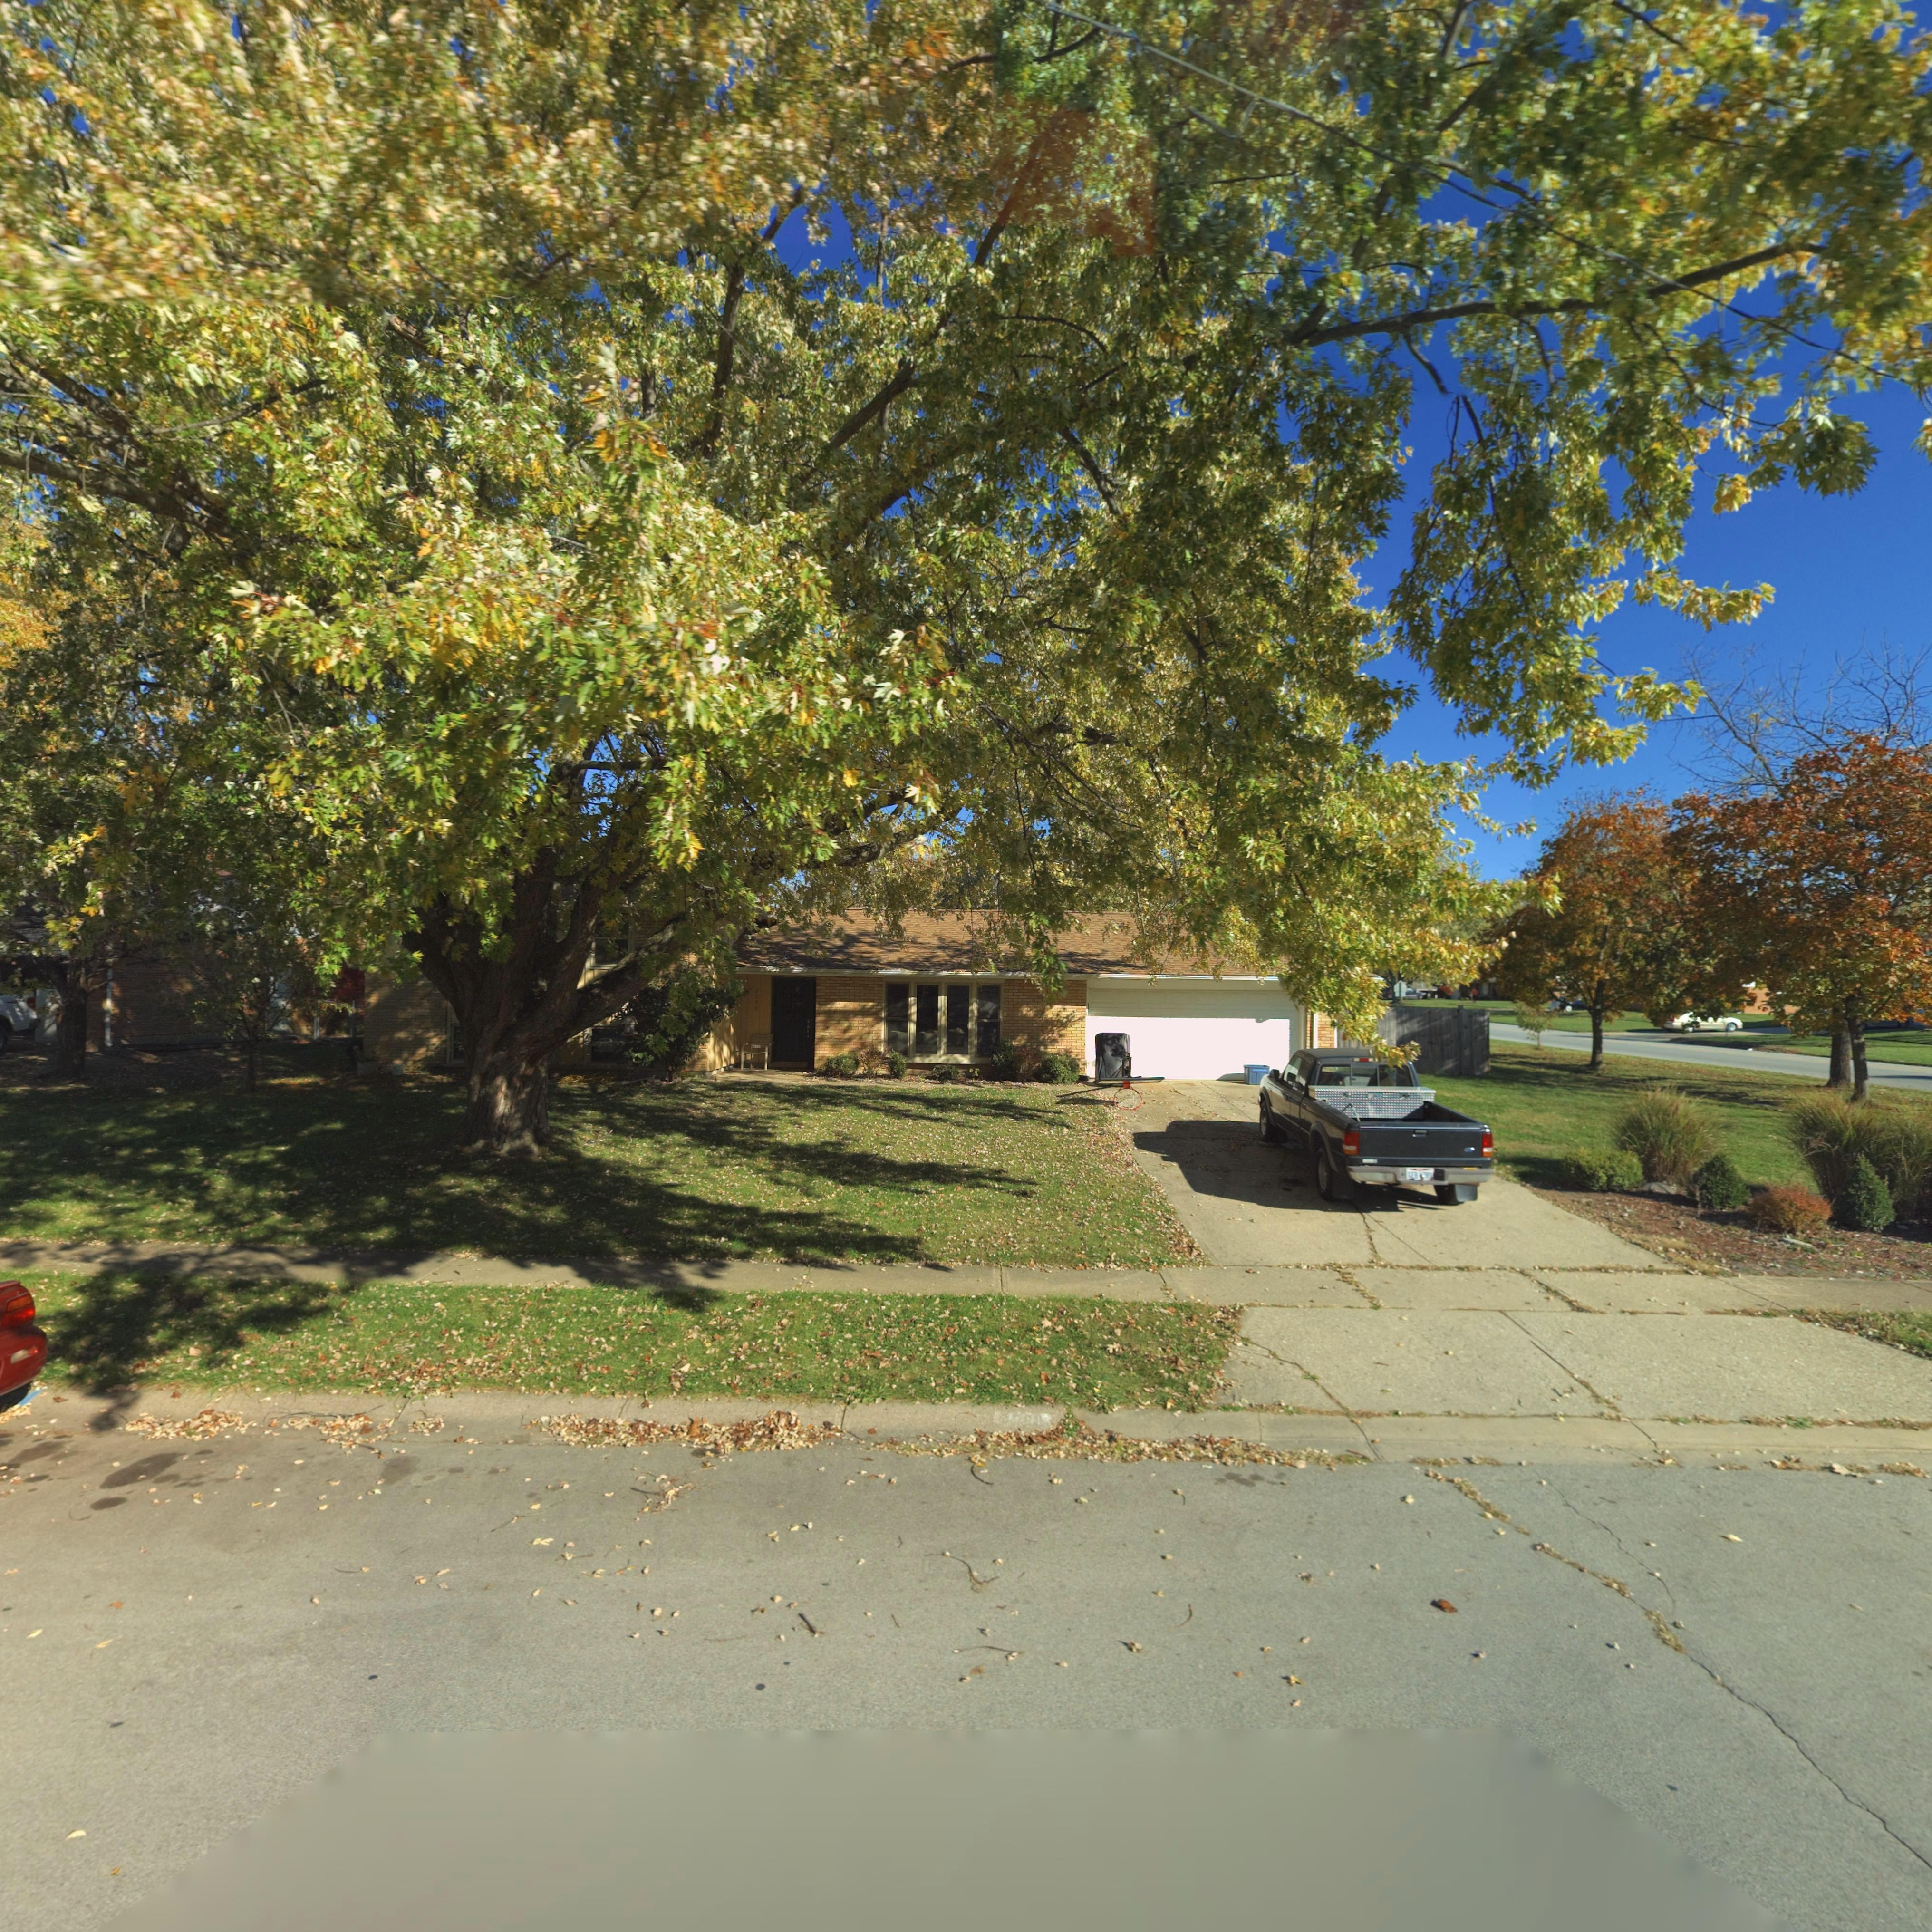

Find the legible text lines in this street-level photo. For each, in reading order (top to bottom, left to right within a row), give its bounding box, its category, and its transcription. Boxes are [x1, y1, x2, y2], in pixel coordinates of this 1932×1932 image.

[753, 987, 760, 1011] StreetNumber: 7000
[1407, 1171, 1419, 1179] None: GEB